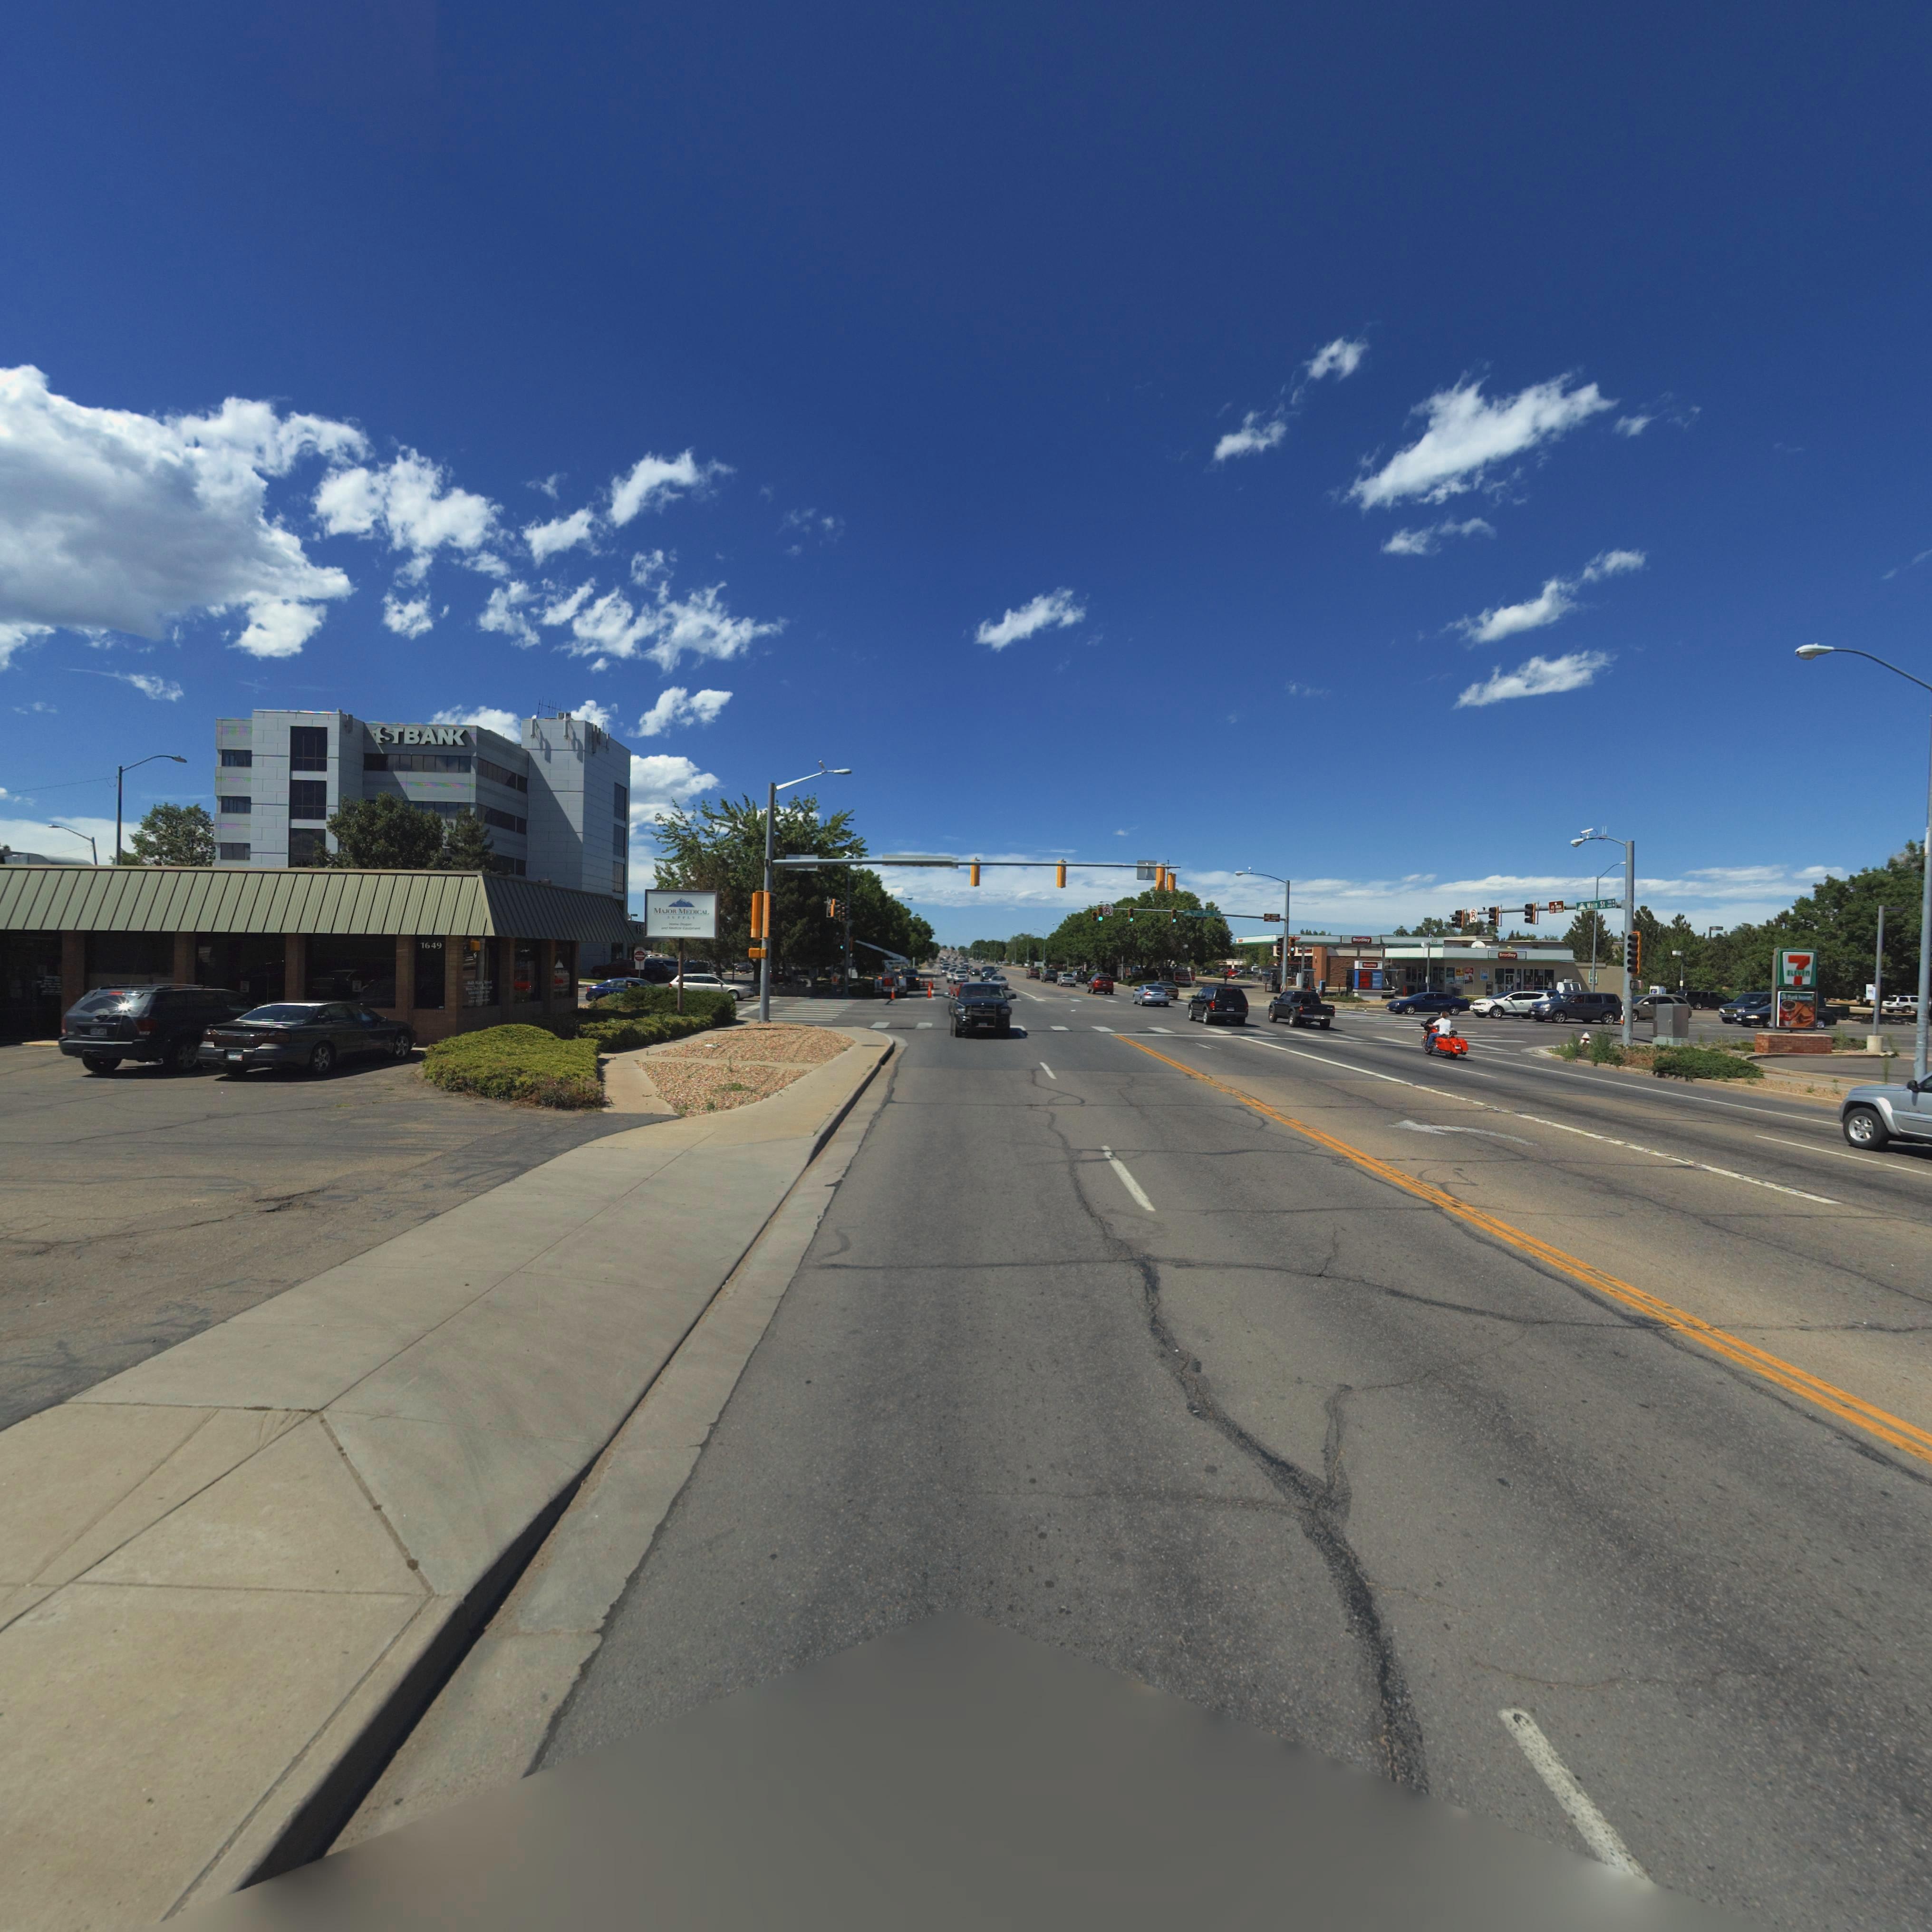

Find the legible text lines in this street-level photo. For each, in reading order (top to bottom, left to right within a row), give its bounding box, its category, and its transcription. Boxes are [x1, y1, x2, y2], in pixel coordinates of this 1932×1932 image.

[371, 726, 466, 746] BusinessName: 1STBAN*
[1586, 900, 1606, 909] StreetName: Main St
[653, 907, 709, 915] BusinessName: MAJOR MEDICAL
[1193, 910, 1211, 916] StreetName: 17th Ave
[667, 915, 695, 919] BusinessName: SUPPLY
[637, 924, 643, 935] BusinessName: 1S
[1352, 937, 1370, 943] BusinessName: B*adl*y
[420, 941, 443, 949] StreetNumber: 1649
[1499, 952, 1516, 958] BusinessName: B***ley
[558, 969, 569, 975] BusinessName: M******
[1786, 954, 1810, 986] BusinessName: 7
[1787, 969, 1810, 976] BusinessName: ELEVEN
[467, 980, 473, 985] StreetNumber: **49
[474, 980, 492, 985] StreetName: Main Street